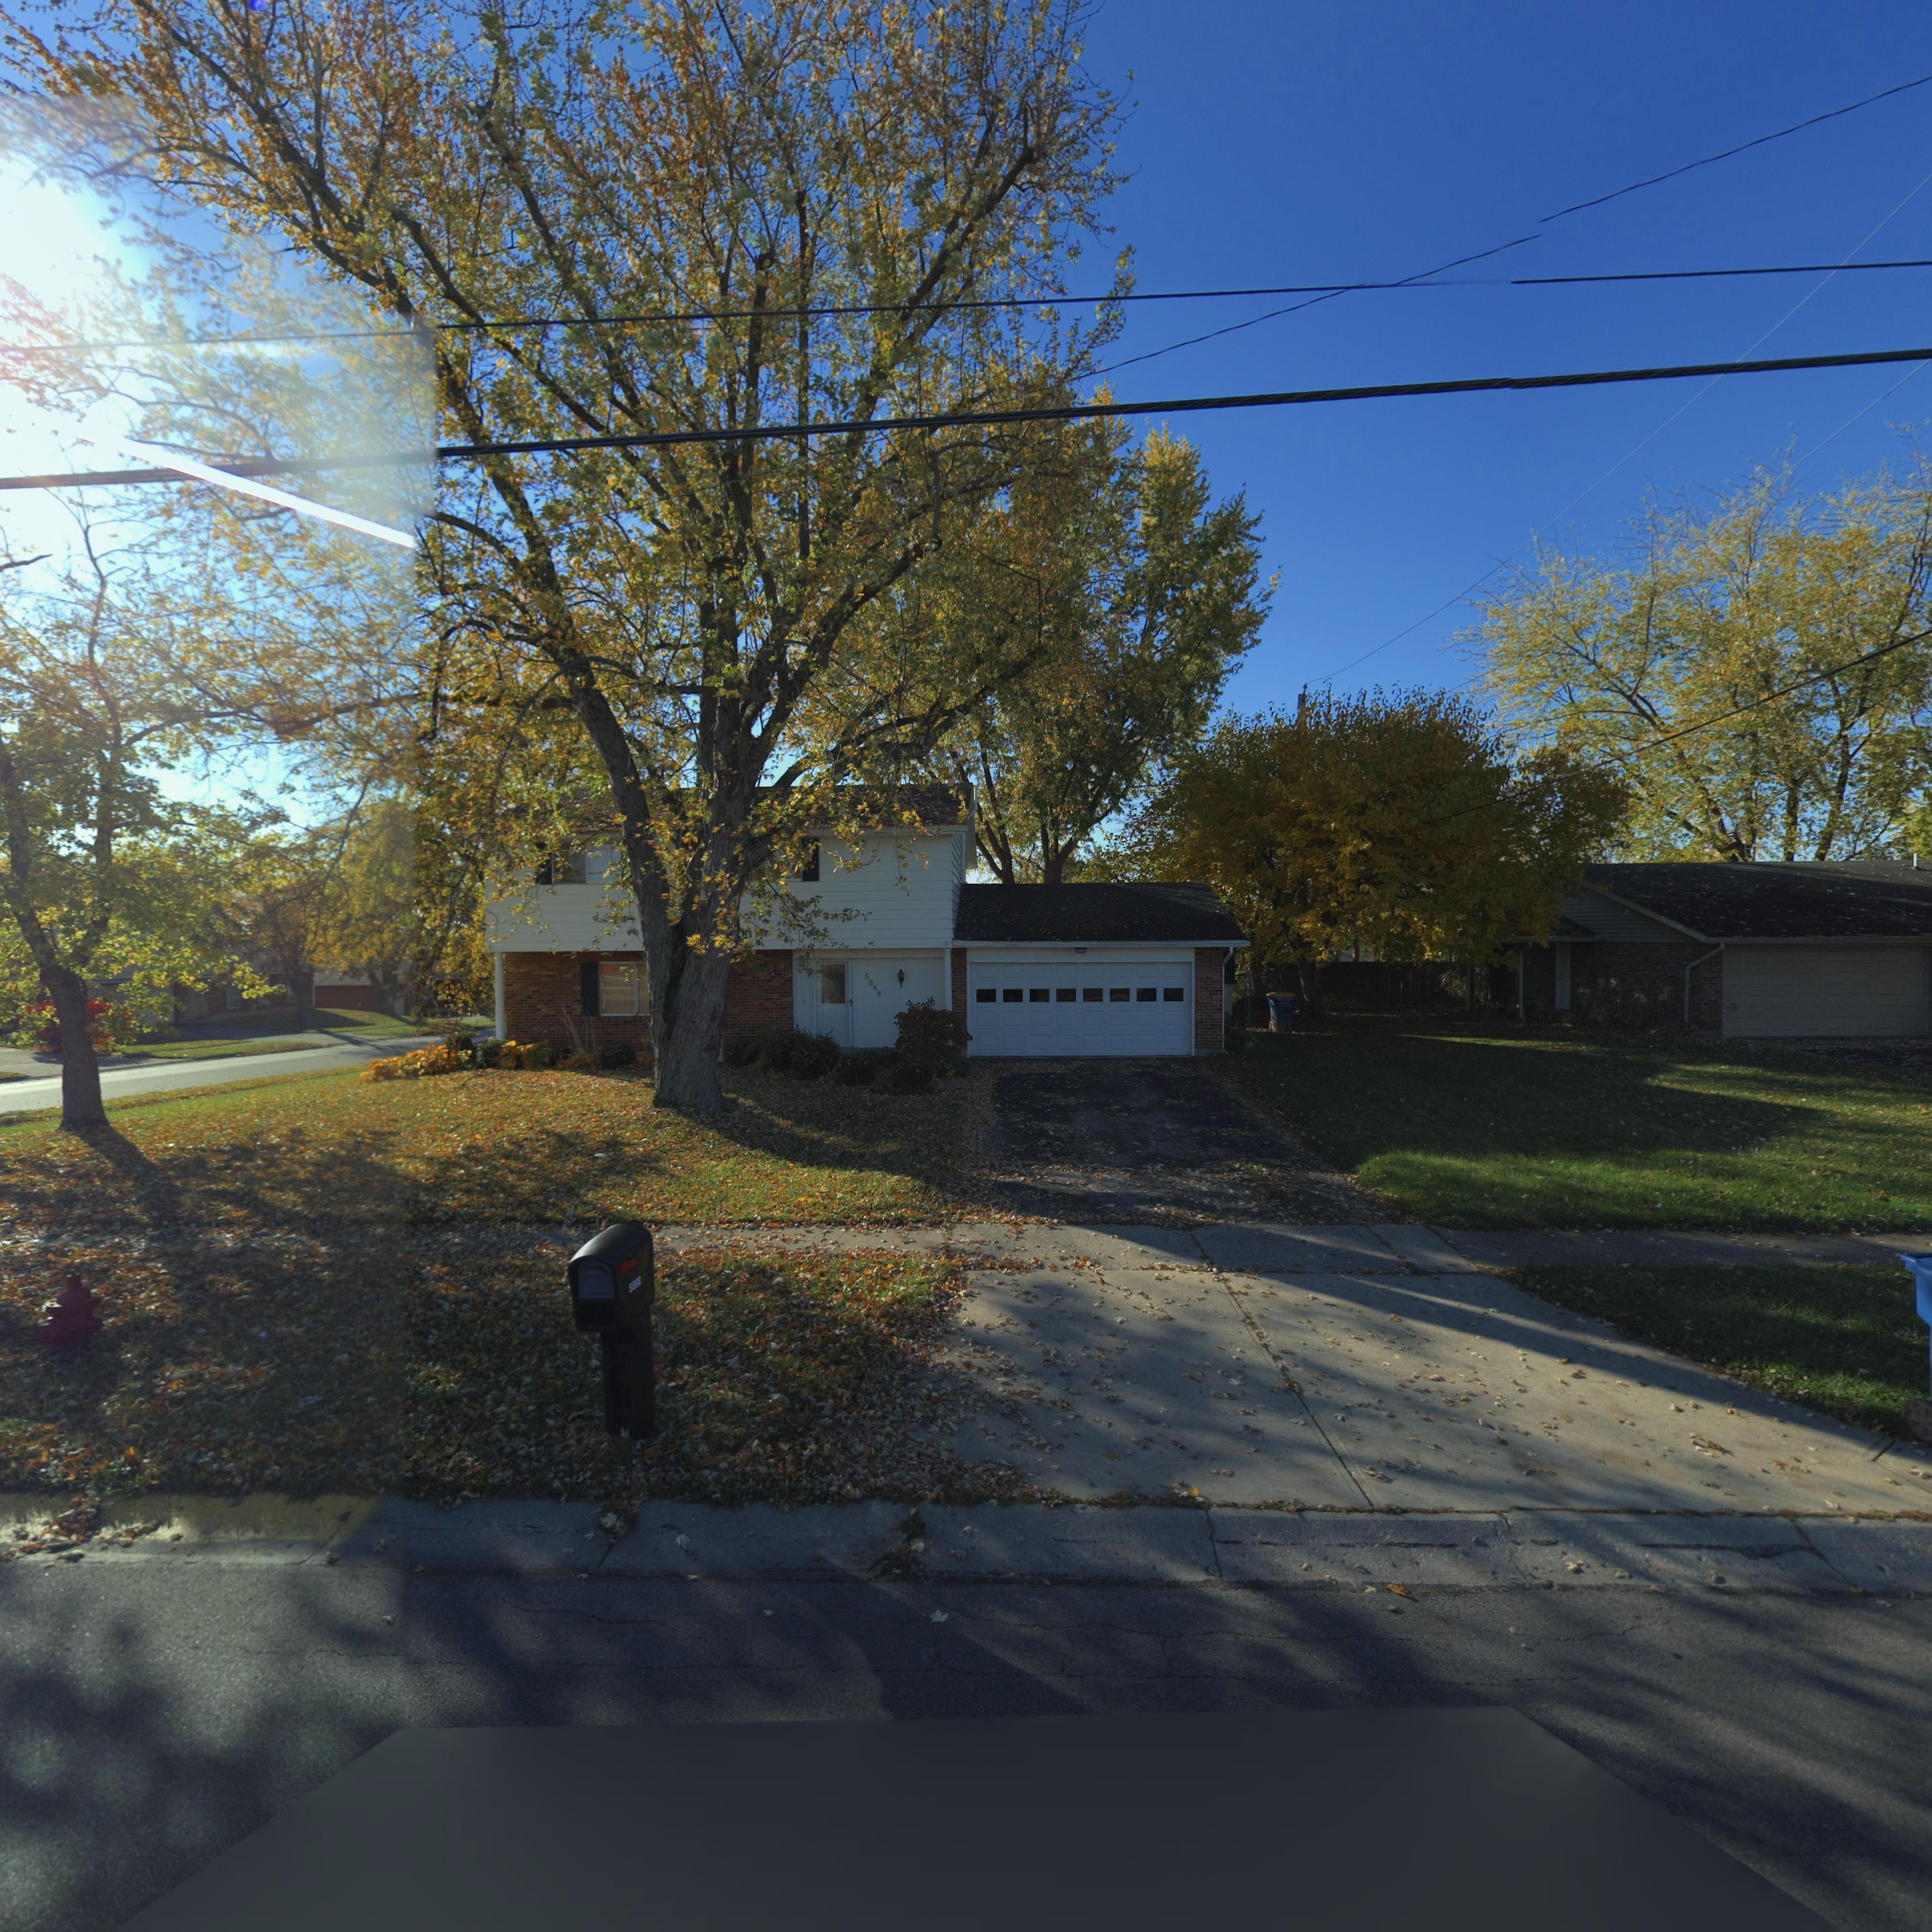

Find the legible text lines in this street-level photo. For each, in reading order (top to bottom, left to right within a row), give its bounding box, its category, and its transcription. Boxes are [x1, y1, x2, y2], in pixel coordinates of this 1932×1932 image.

[864, 973, 881, 997] StreetNumber: 5888
[628, 1275, 642, 1294] StreetNumber: 5888